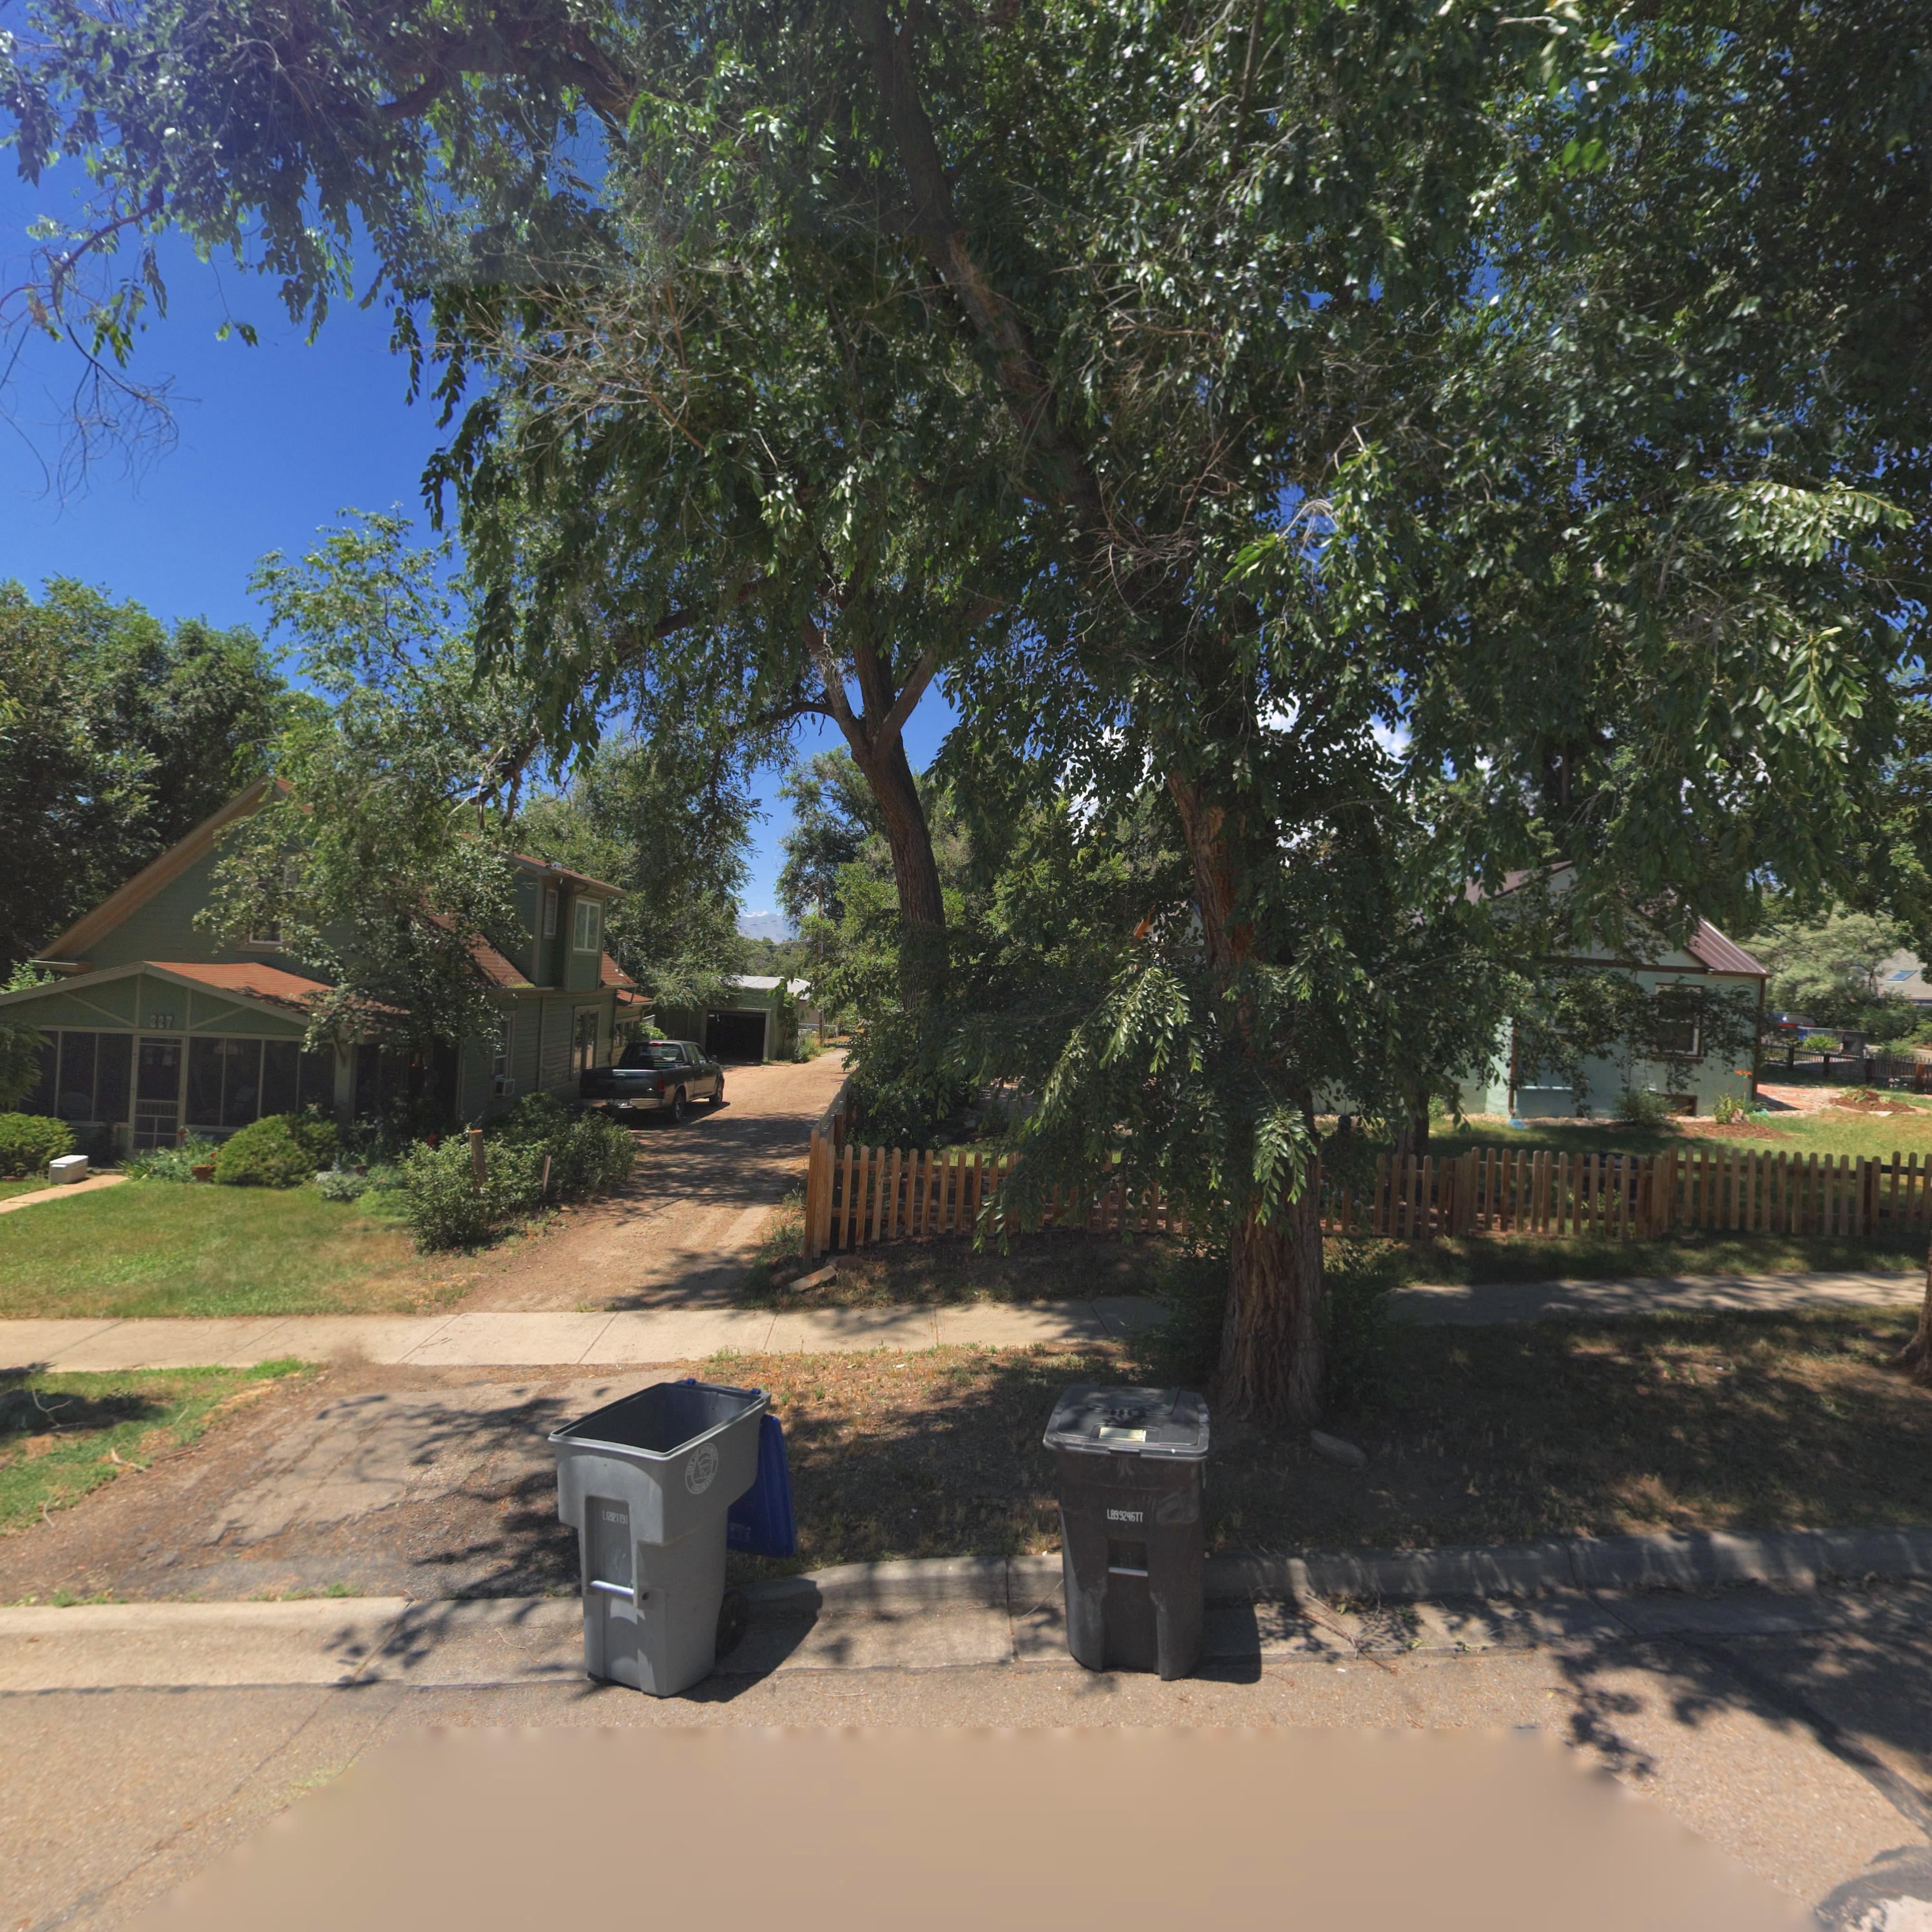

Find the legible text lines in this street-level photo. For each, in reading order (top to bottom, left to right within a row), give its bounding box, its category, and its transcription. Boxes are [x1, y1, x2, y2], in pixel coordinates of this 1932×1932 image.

[150, 1014, 173, 1029] StreetNumber: 227